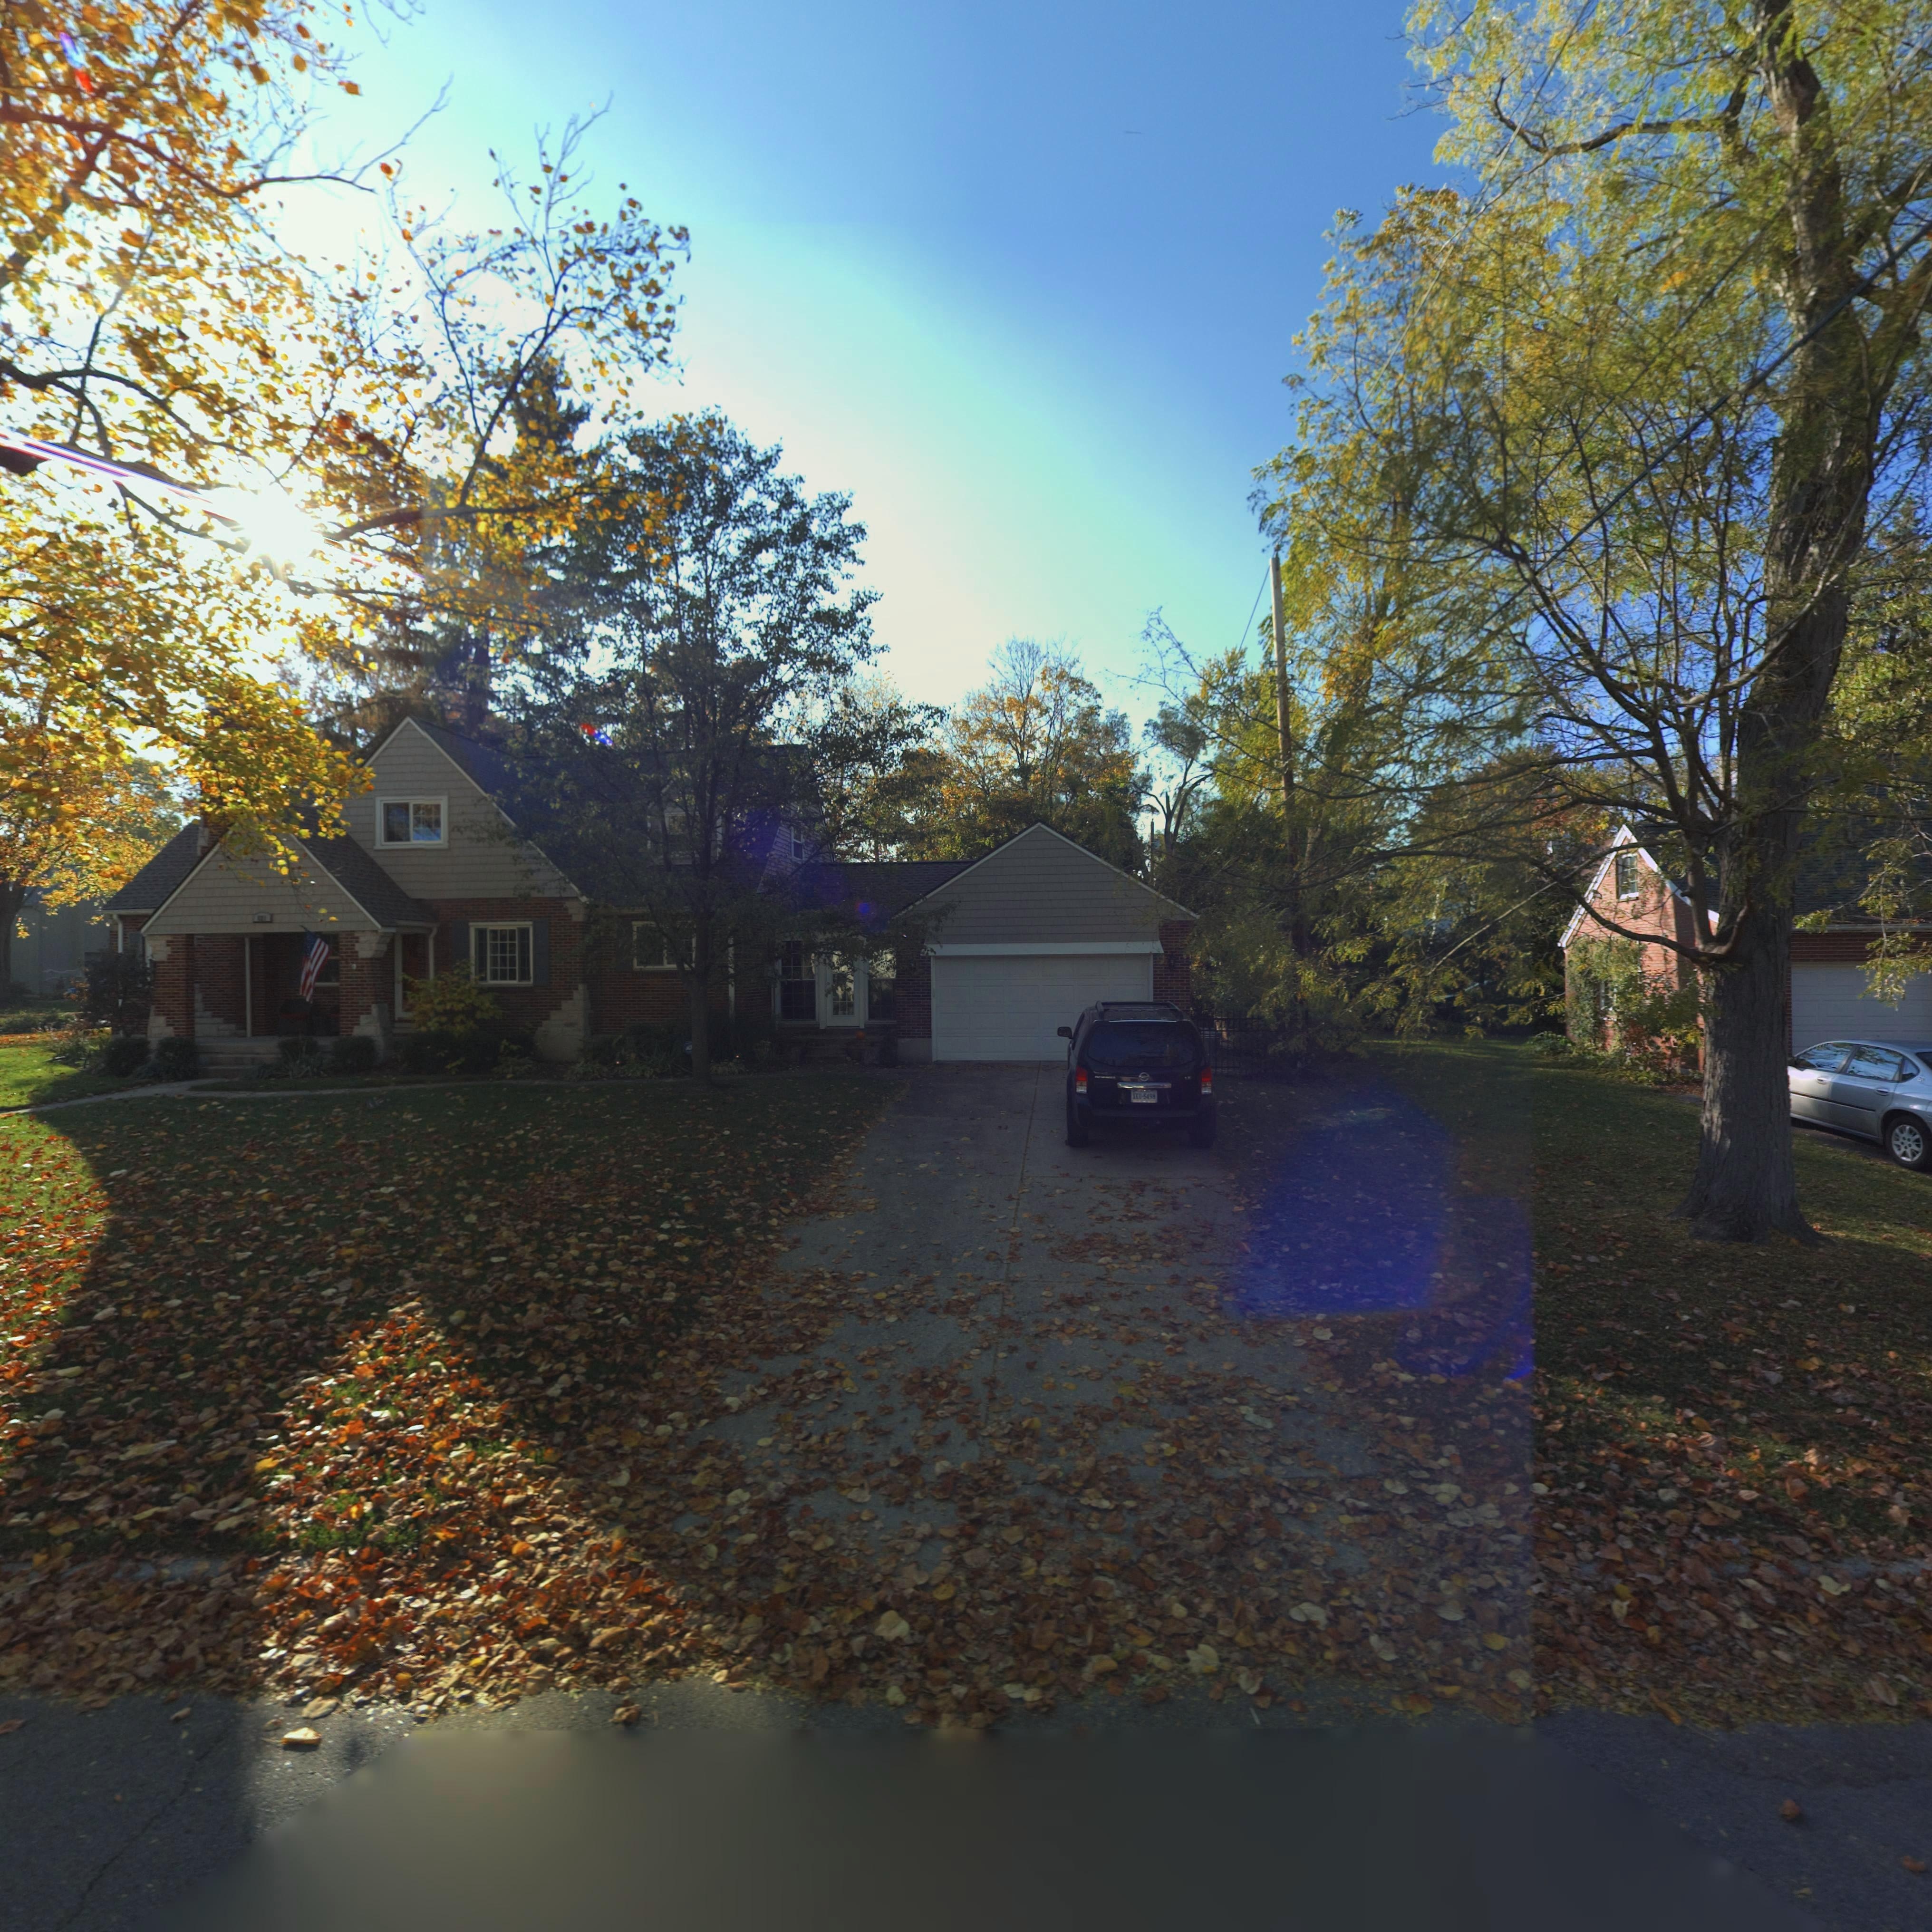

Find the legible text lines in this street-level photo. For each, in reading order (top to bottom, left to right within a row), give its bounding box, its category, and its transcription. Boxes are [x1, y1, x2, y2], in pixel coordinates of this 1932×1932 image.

[257, 915, 267, 922] StreetNumber: *21